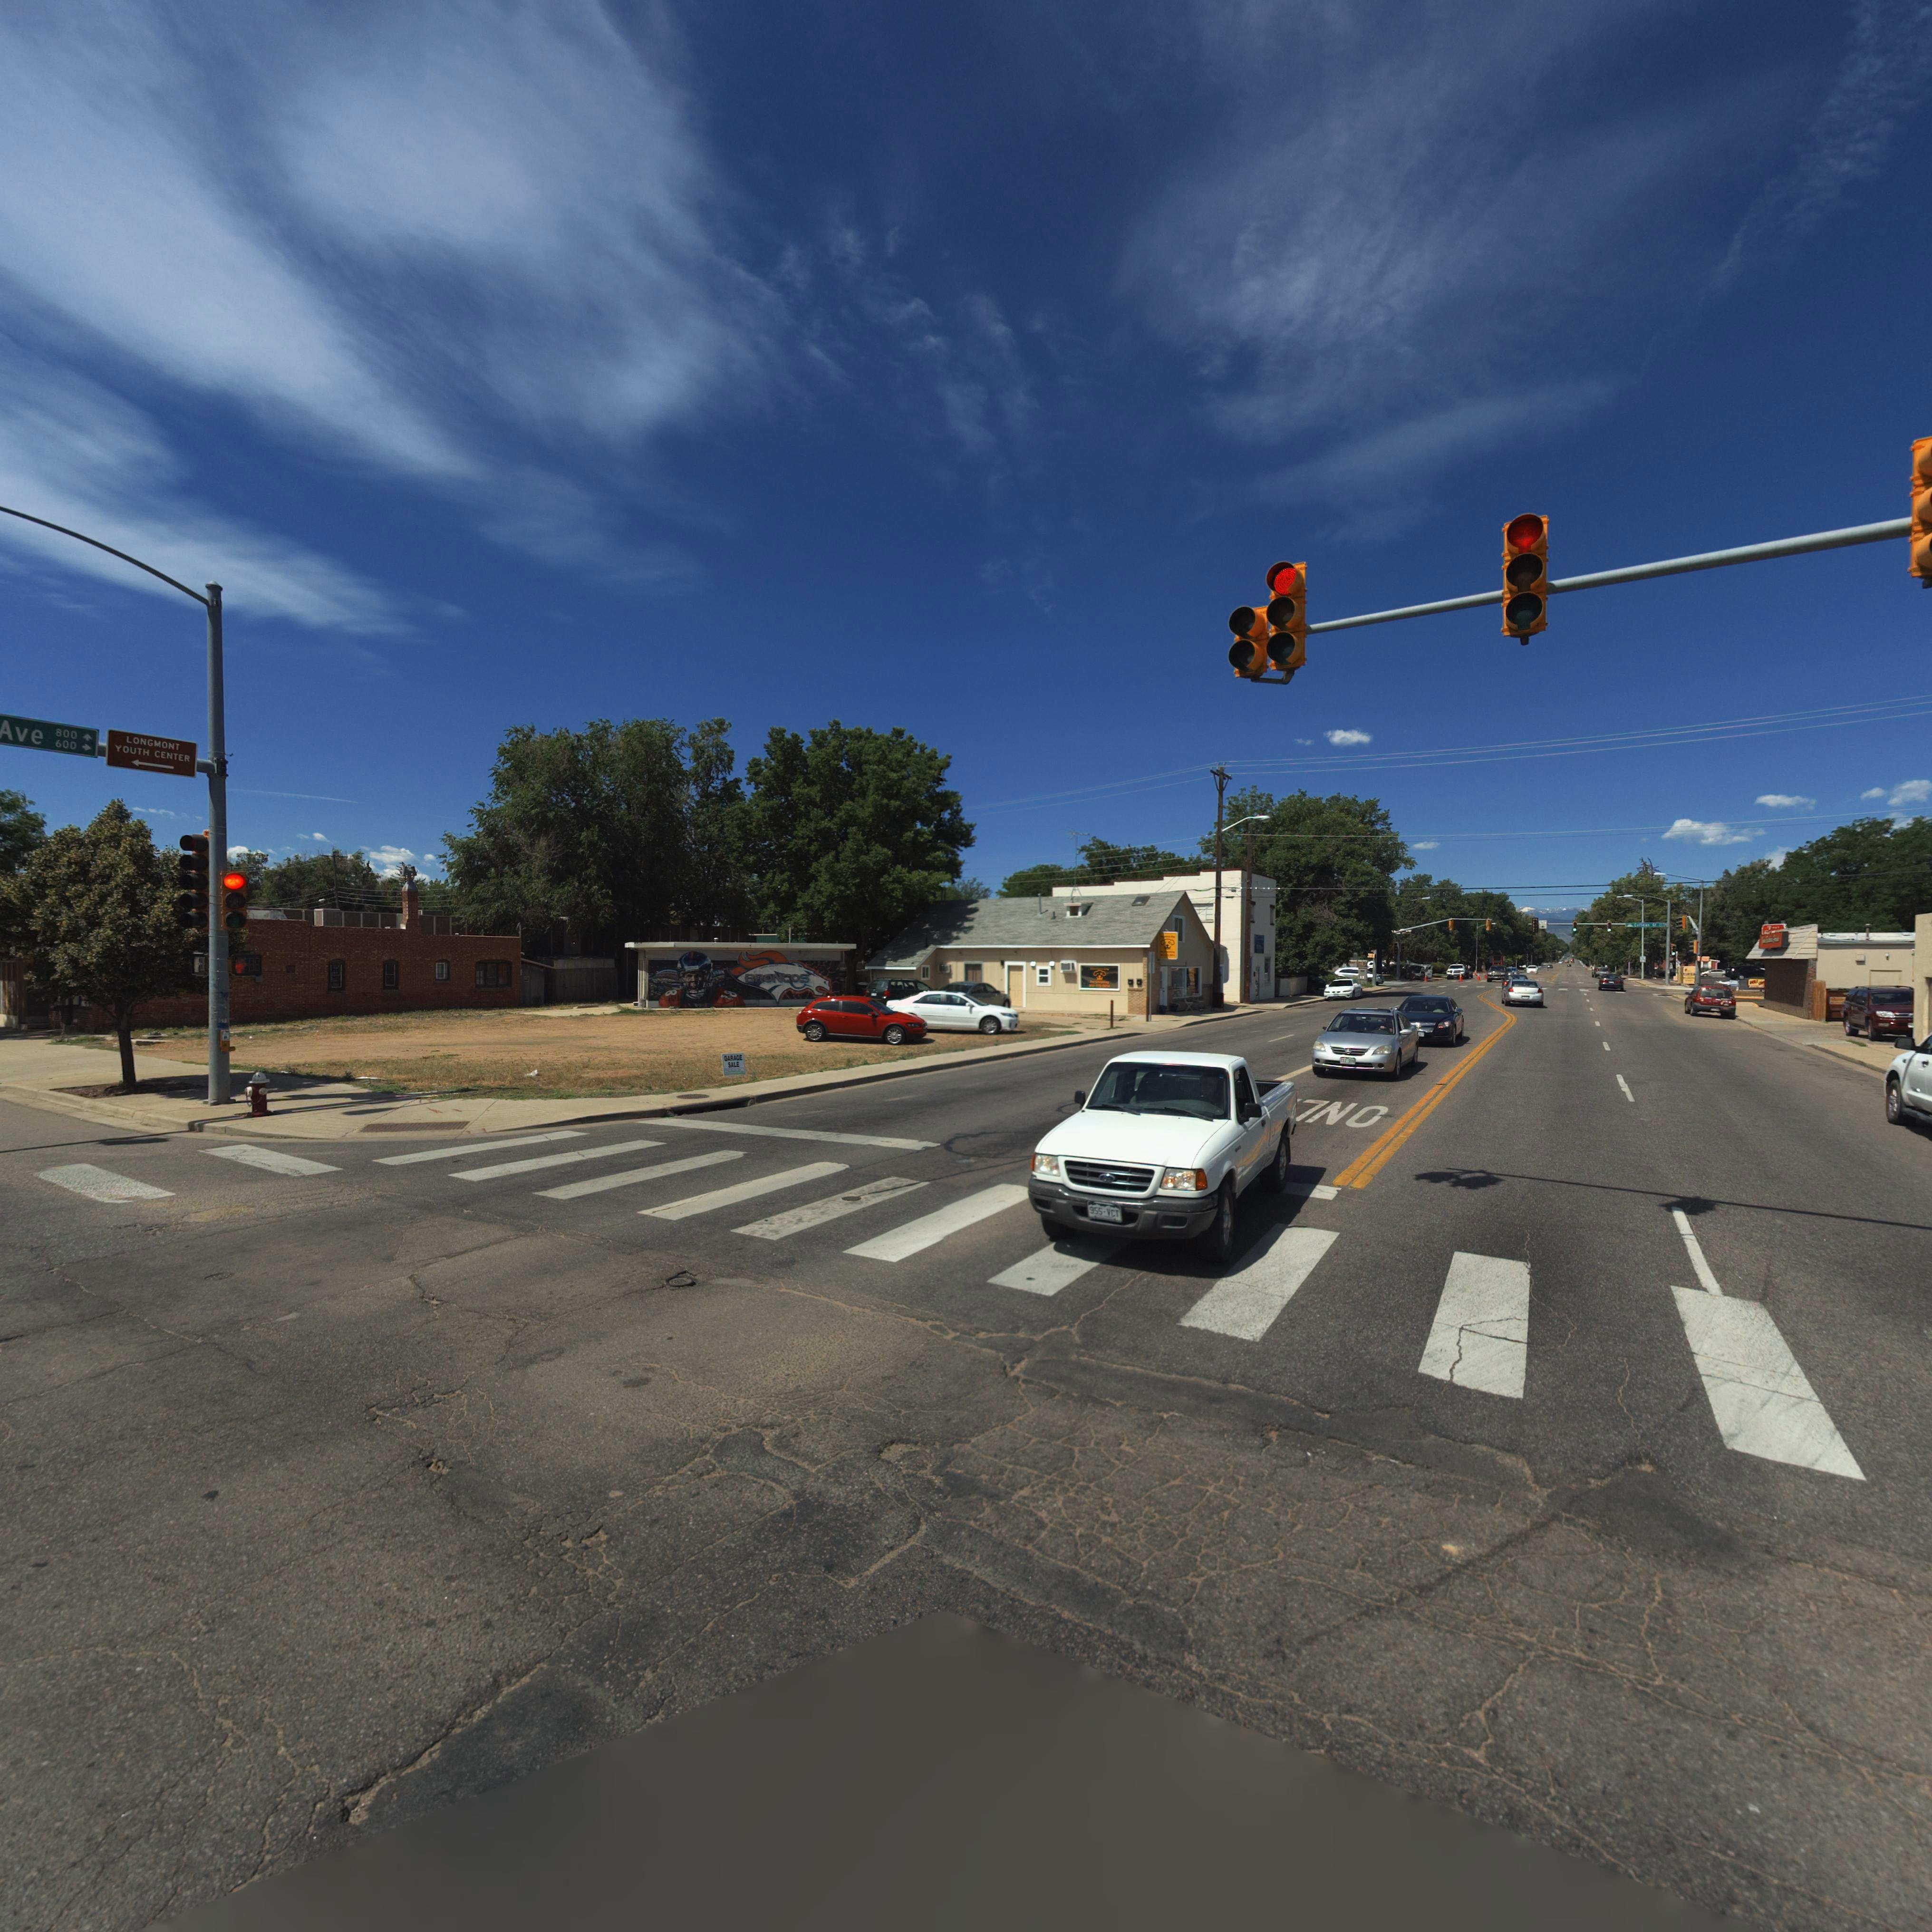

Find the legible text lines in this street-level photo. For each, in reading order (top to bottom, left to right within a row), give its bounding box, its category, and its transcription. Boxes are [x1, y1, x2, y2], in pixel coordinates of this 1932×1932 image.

[14, 725, 44, 745] StreetName: ve
[54, 727, 77, 740] StreetNumberRange: 800
[55, 739, 92, 751] StreetNumberRange: 600->